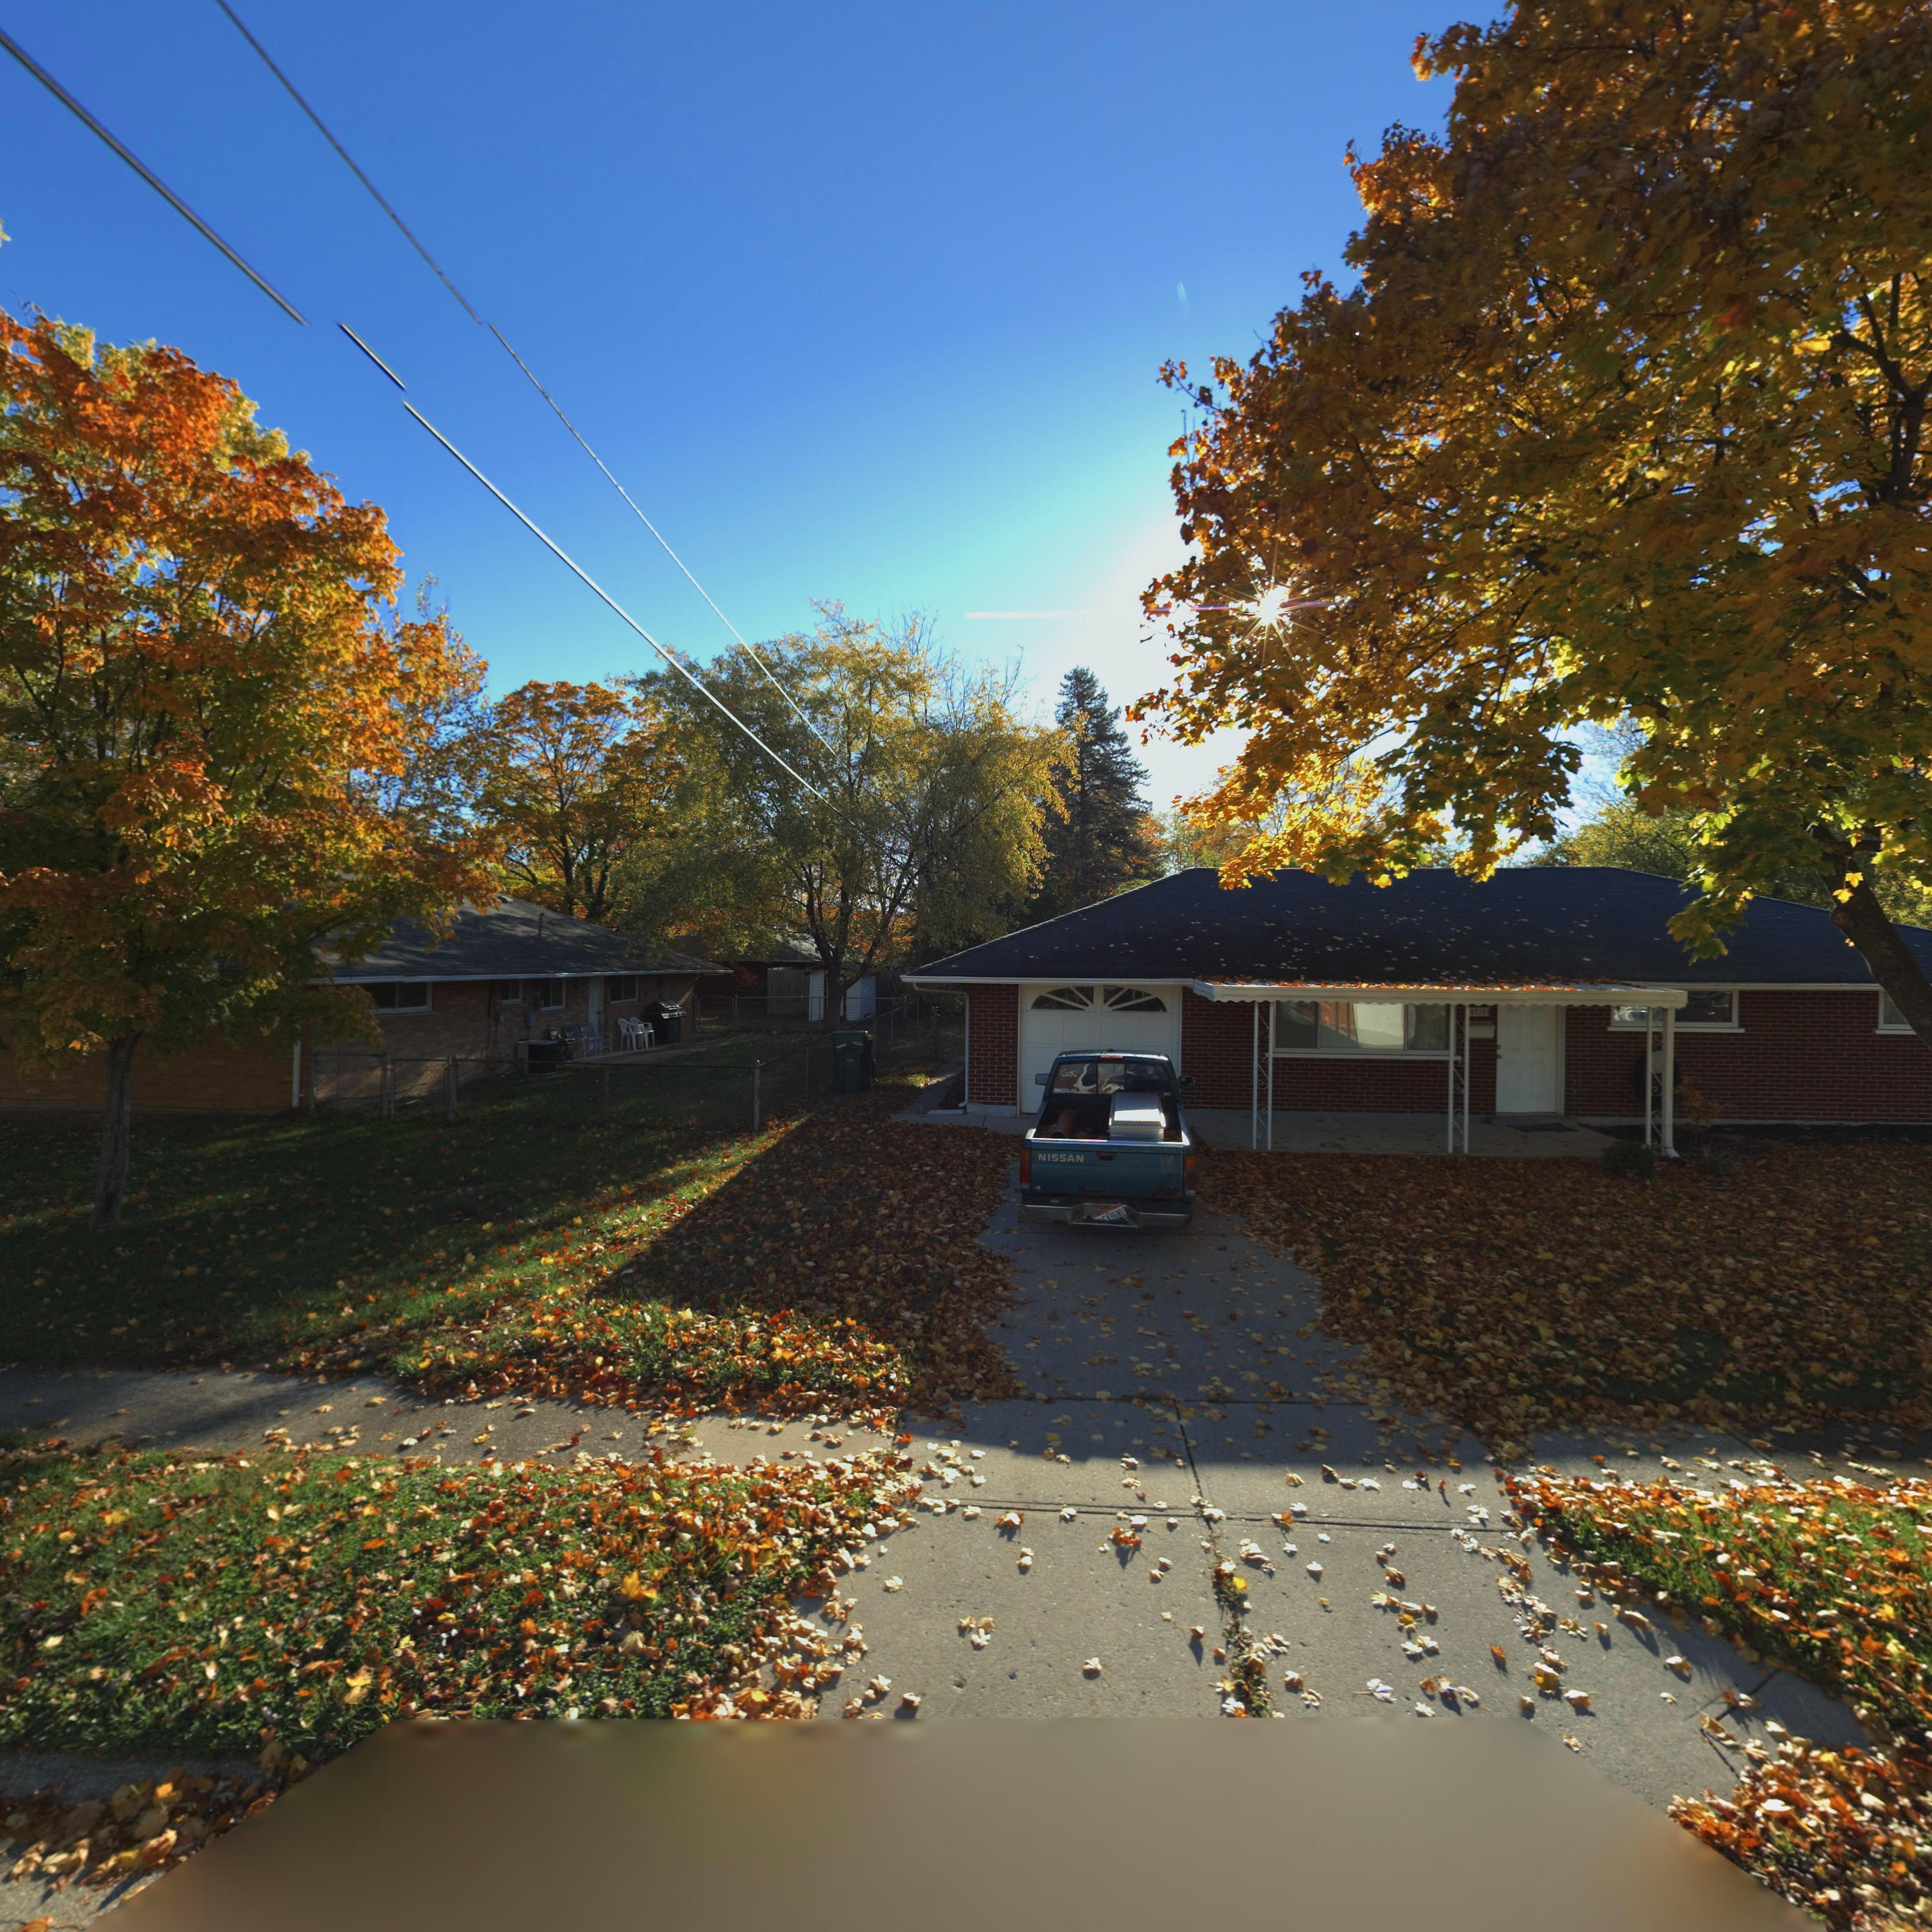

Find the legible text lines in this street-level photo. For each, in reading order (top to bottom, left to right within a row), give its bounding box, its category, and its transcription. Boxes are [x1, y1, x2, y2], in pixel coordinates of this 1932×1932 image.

[1469, 1008, 1487, 1014] StreetNumber: 4716